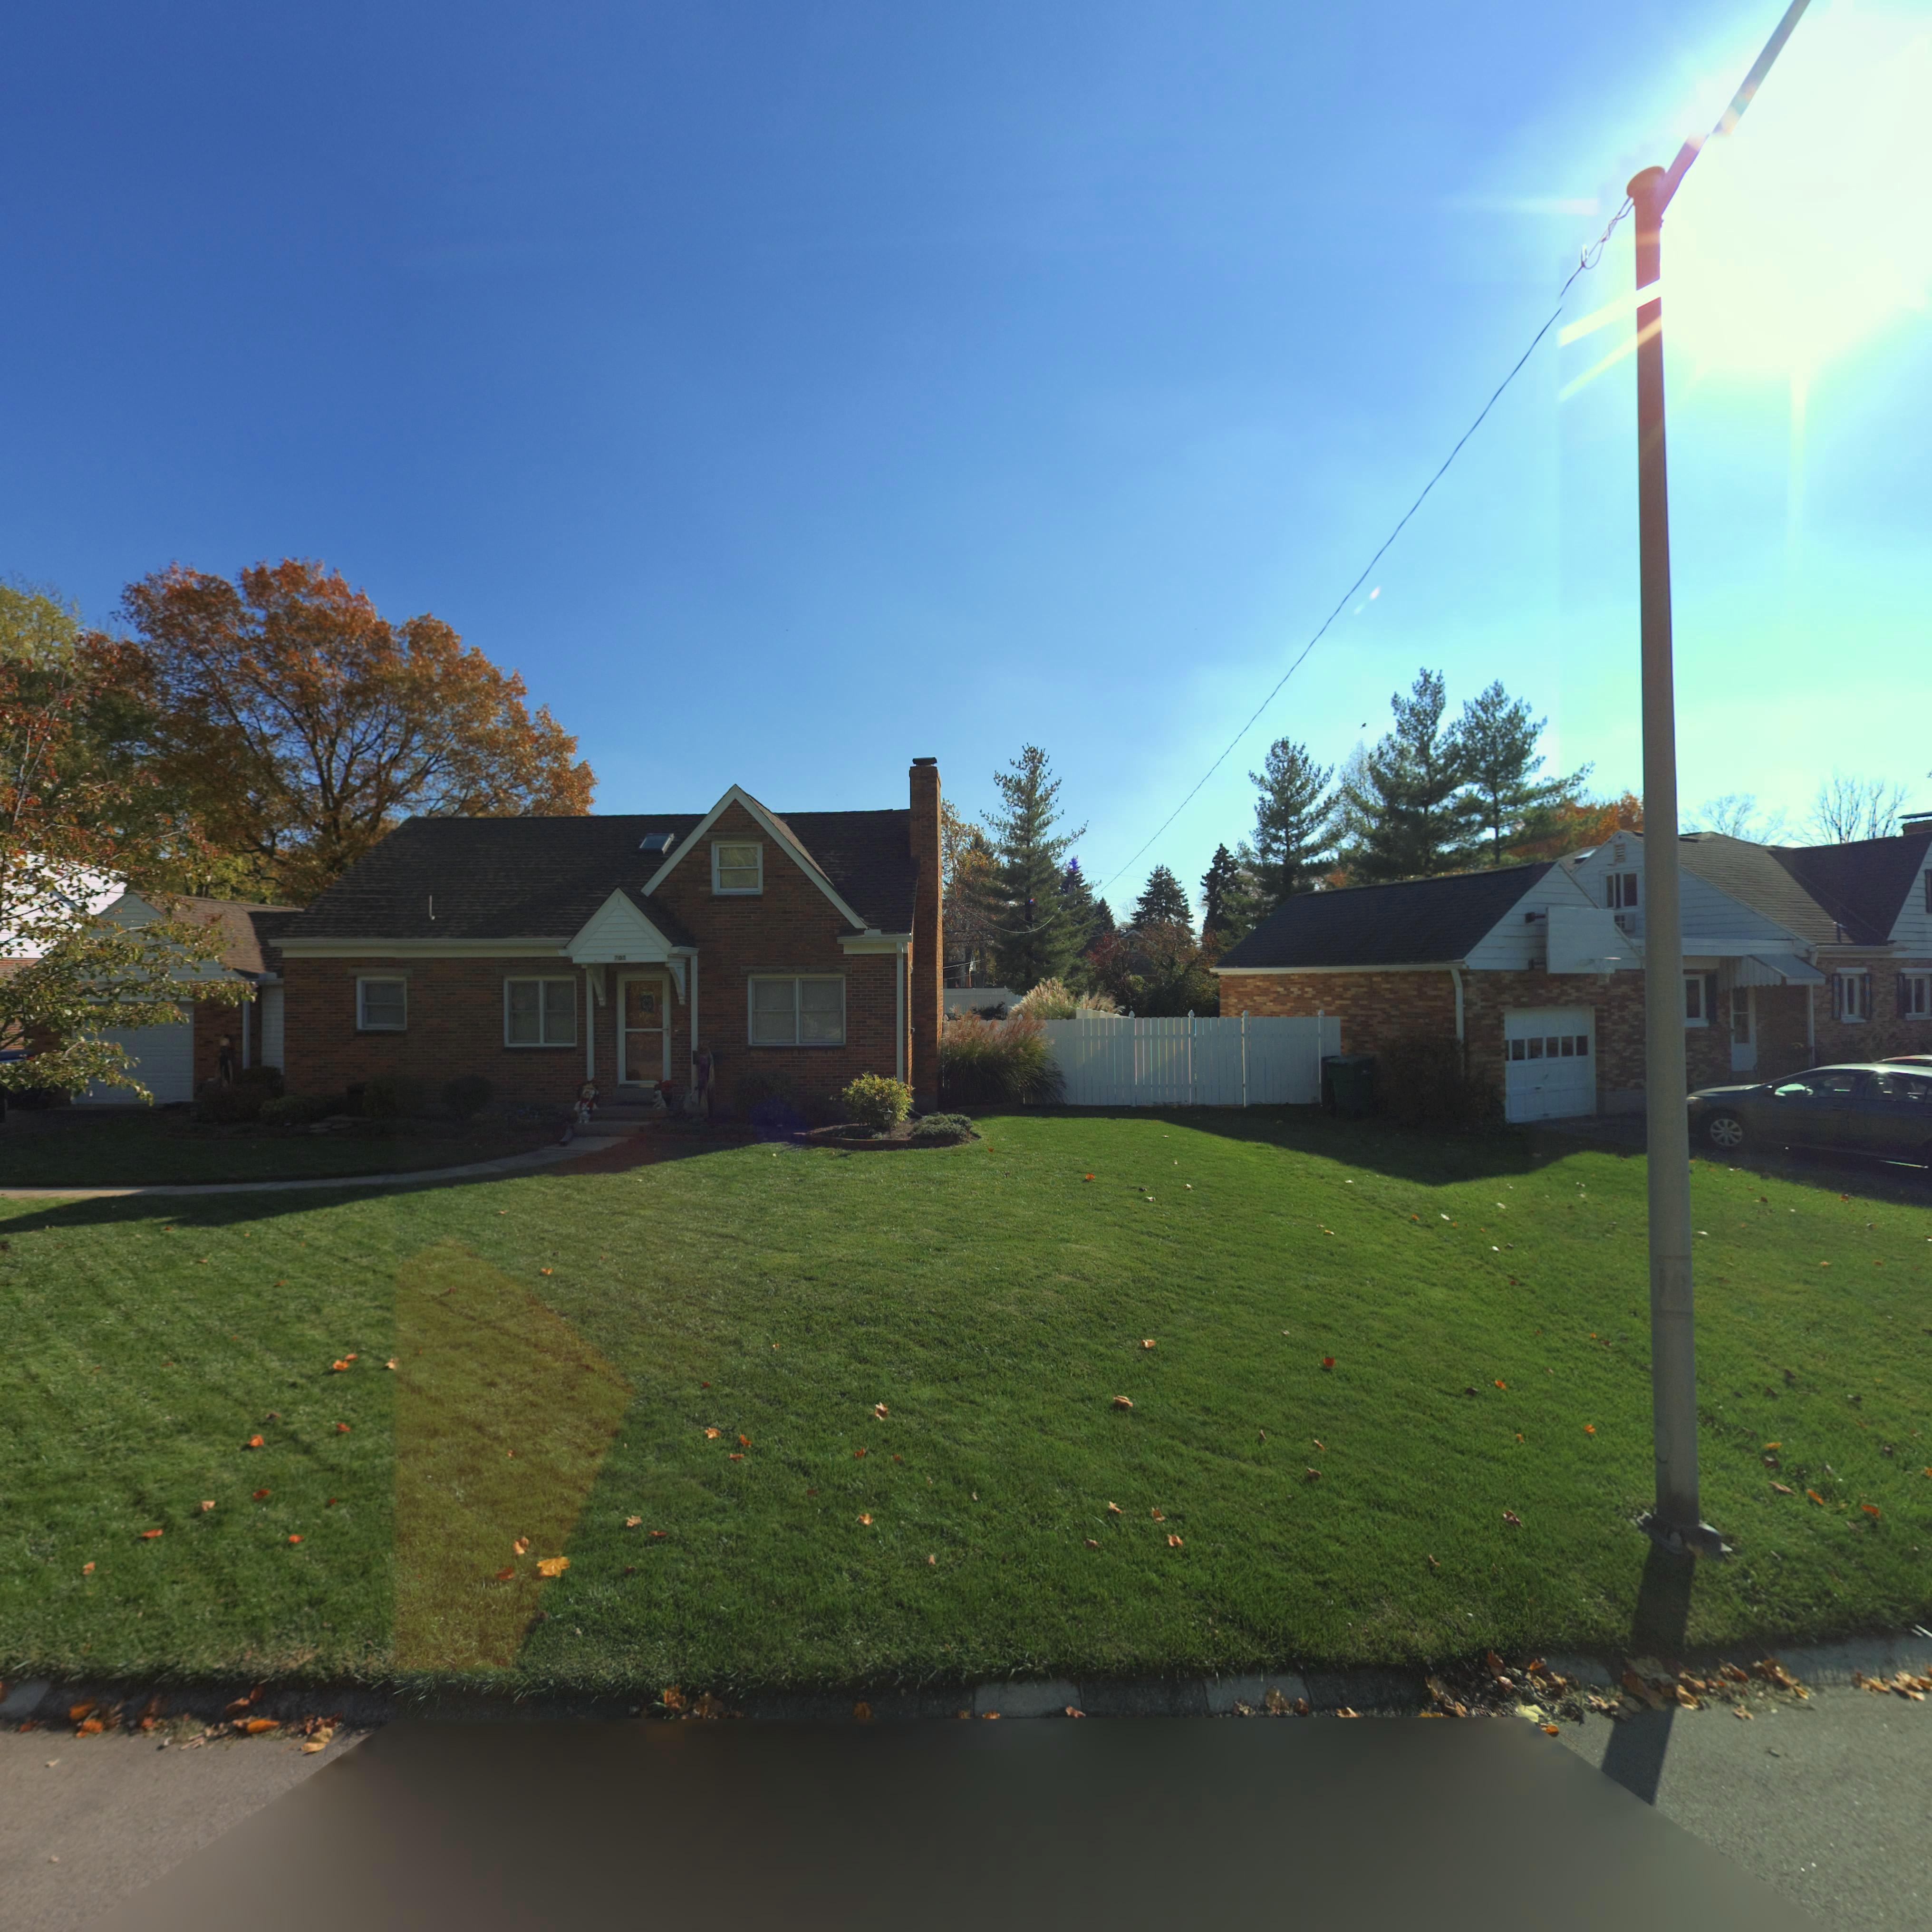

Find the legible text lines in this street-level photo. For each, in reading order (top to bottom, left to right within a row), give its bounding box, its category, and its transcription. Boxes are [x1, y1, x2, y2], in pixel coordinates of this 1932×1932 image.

[613, 954, 627, 962] StreetNumber: 70*